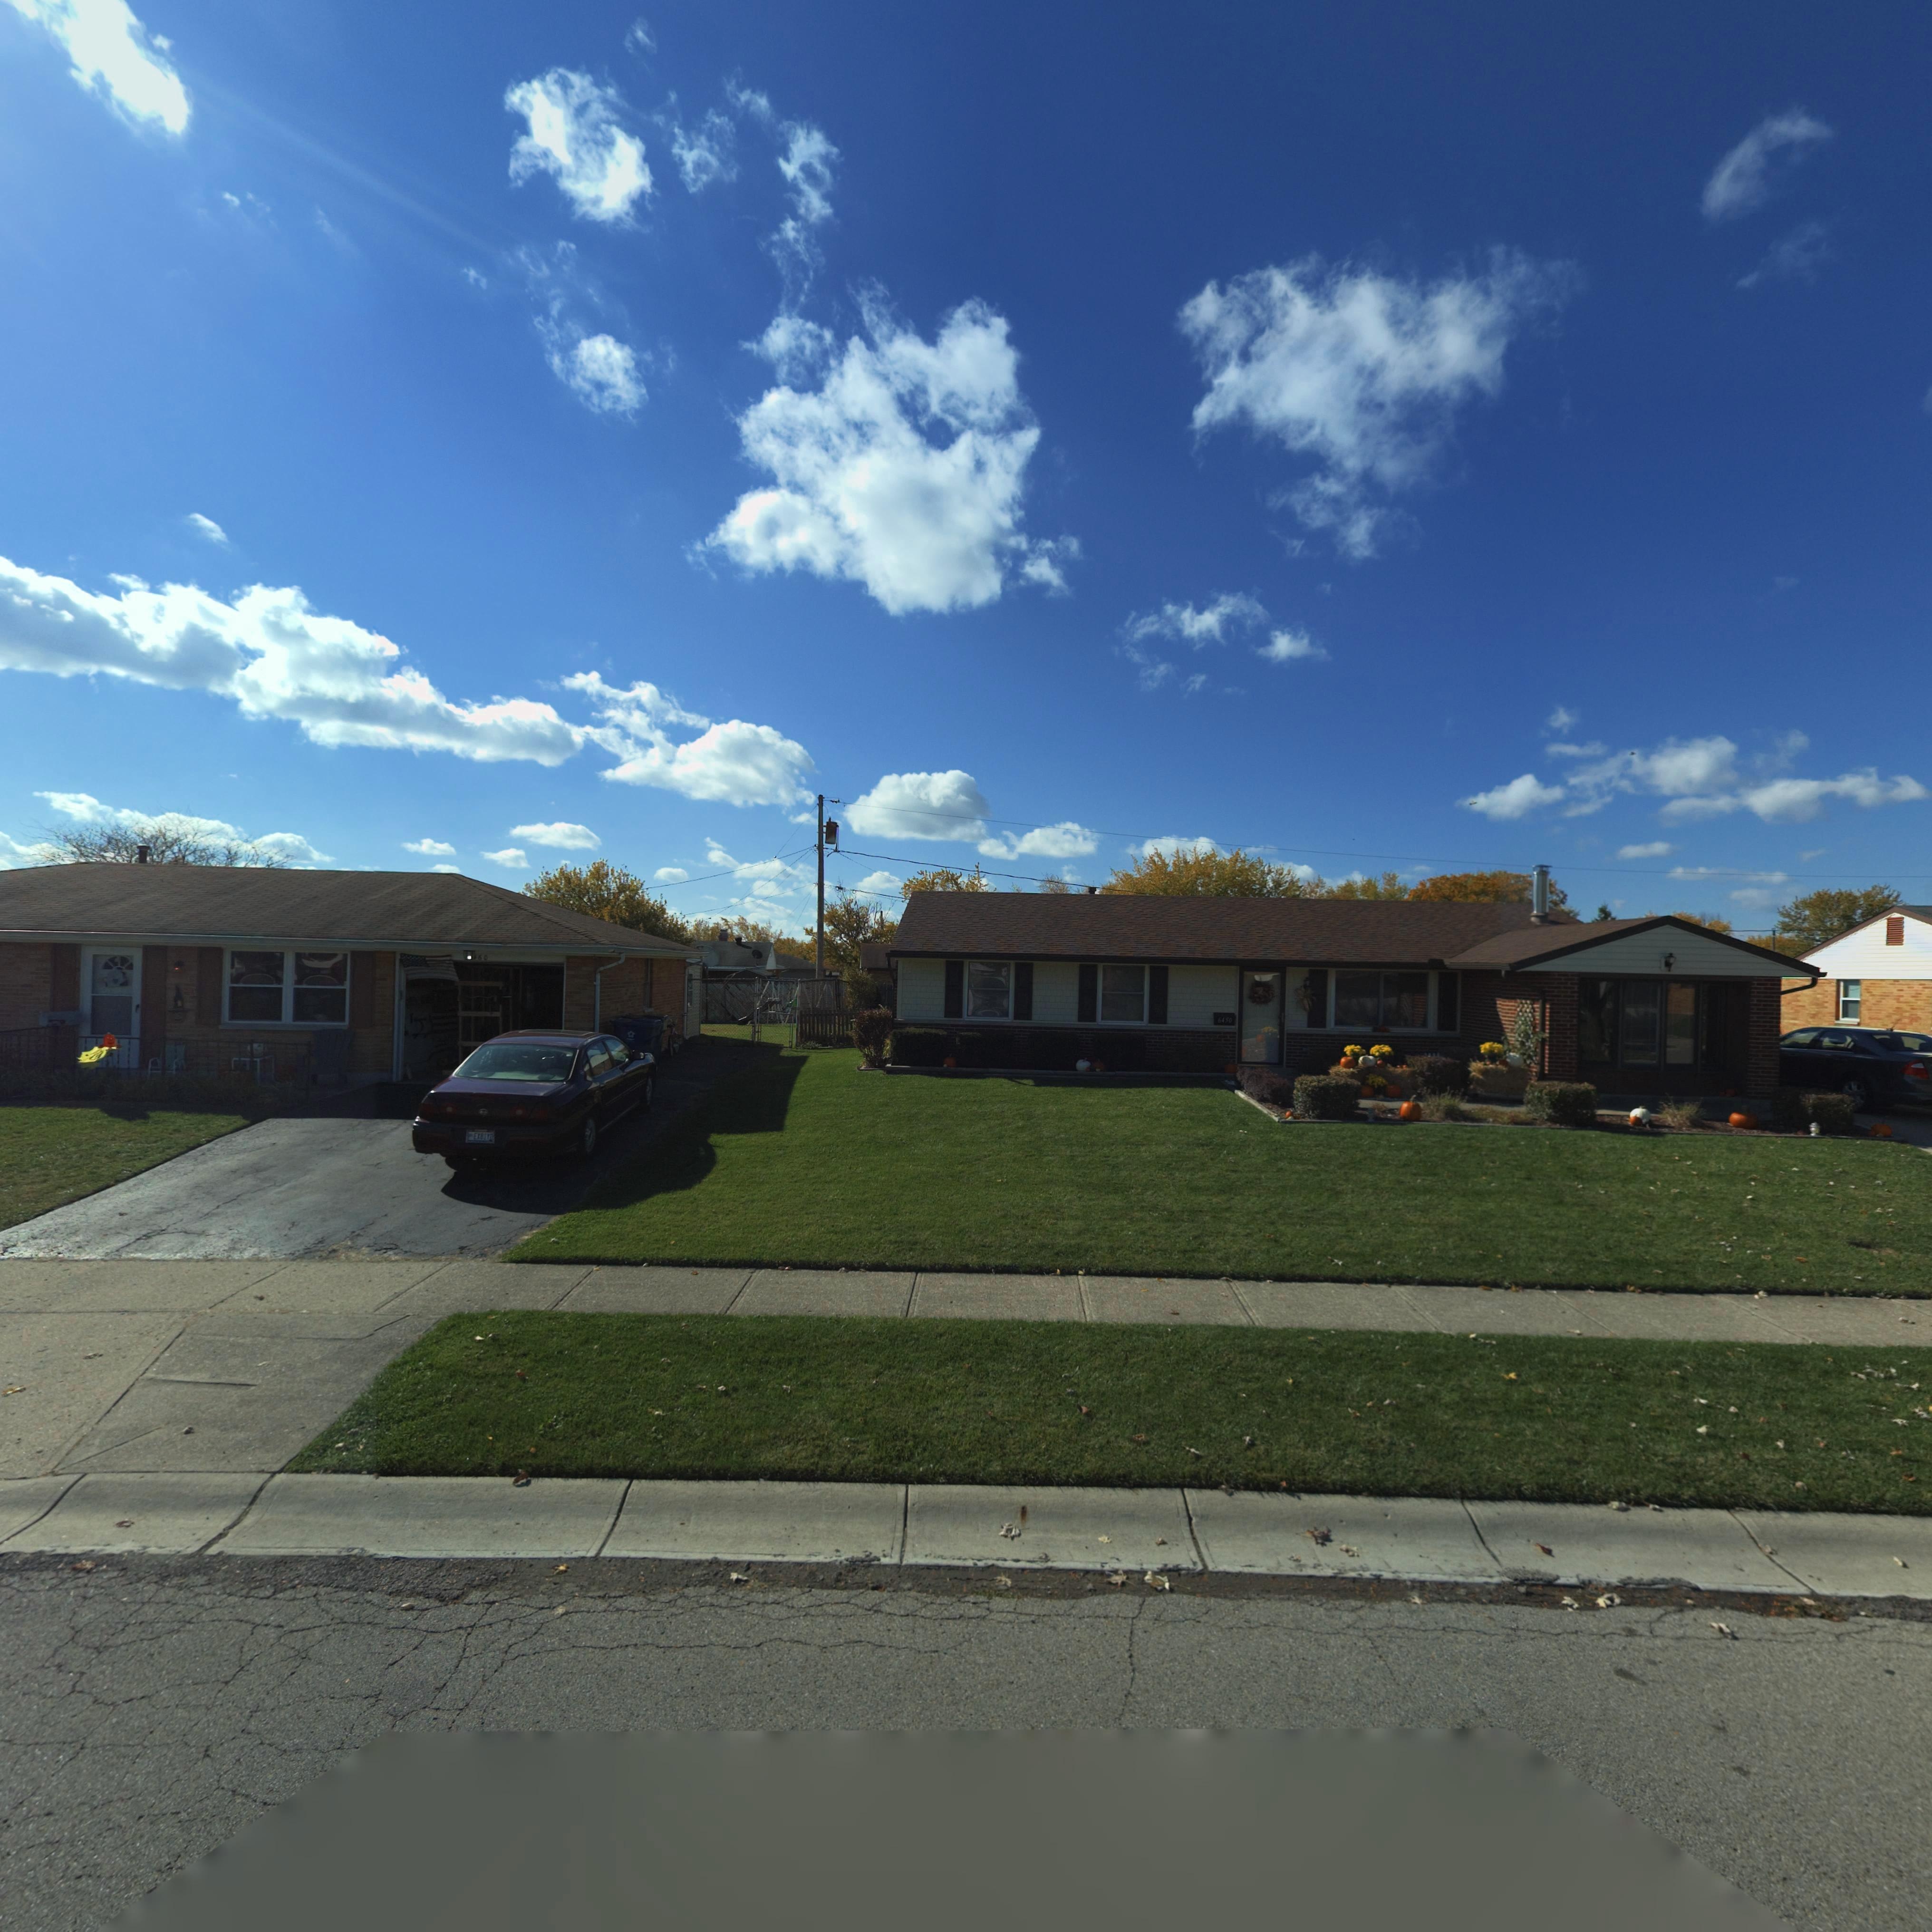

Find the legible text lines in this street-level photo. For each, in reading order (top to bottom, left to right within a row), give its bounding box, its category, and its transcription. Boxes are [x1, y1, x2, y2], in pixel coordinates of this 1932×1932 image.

[477, 954, 488, 961] StreetNumber: 60
[1217, 1016, 1233, 1024] StreetNumber: 6450